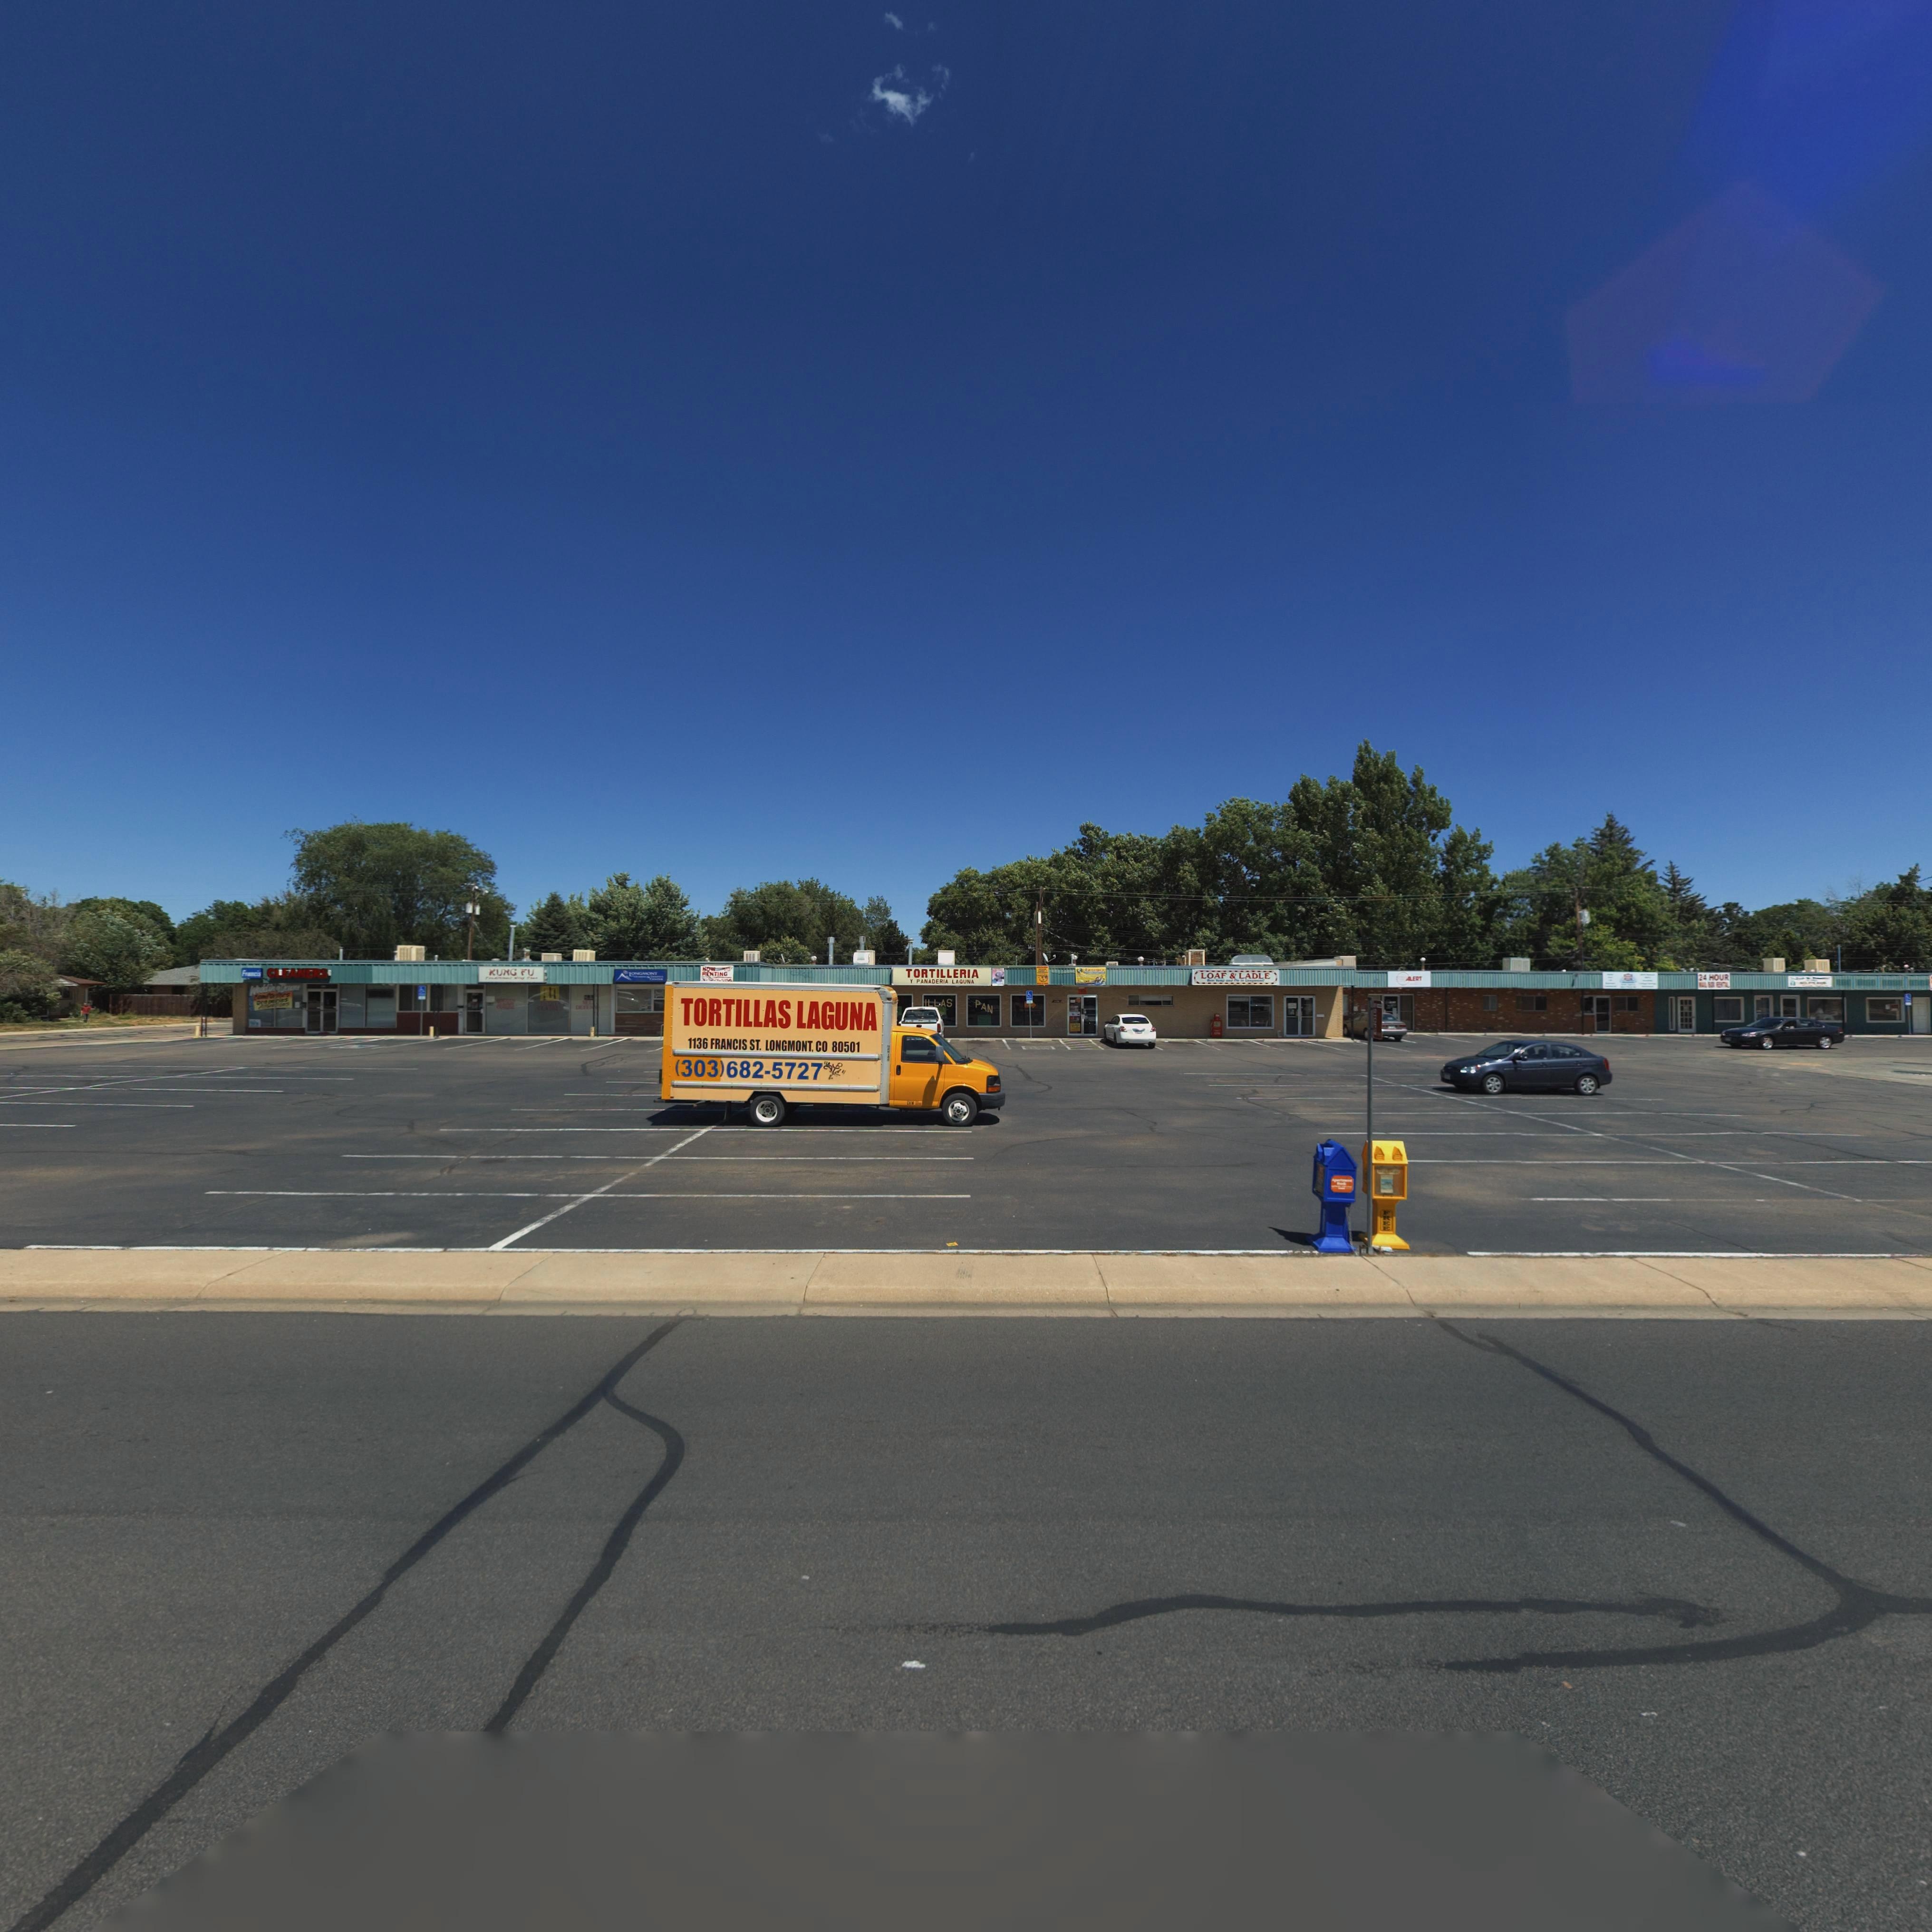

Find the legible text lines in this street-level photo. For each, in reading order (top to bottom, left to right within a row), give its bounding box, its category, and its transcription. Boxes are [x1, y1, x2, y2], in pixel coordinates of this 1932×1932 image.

[241, 970, 261, 976] BusinessName: Fr***is
[266, 968, 328, 978] BusinessName: CLEANERS
[489, 968, 534, 976] BusinessName: KUNG FU
[629, 972, 657, 976] BusinessName: LON*MONT
[906, 969, 978, 978] BusinessName: TORTILLERIA
[909, 979, 975, 984] BusinessName: Y PANADERIA LAGUNA
[1201, 972, 1270, 979] BusinessName: LOAF & LADLE
[1405, 976, 1422, 981] BusinessName: ALERT
[1699, 981, 1729, 987] BusinessName: N**L B*** R*N**L